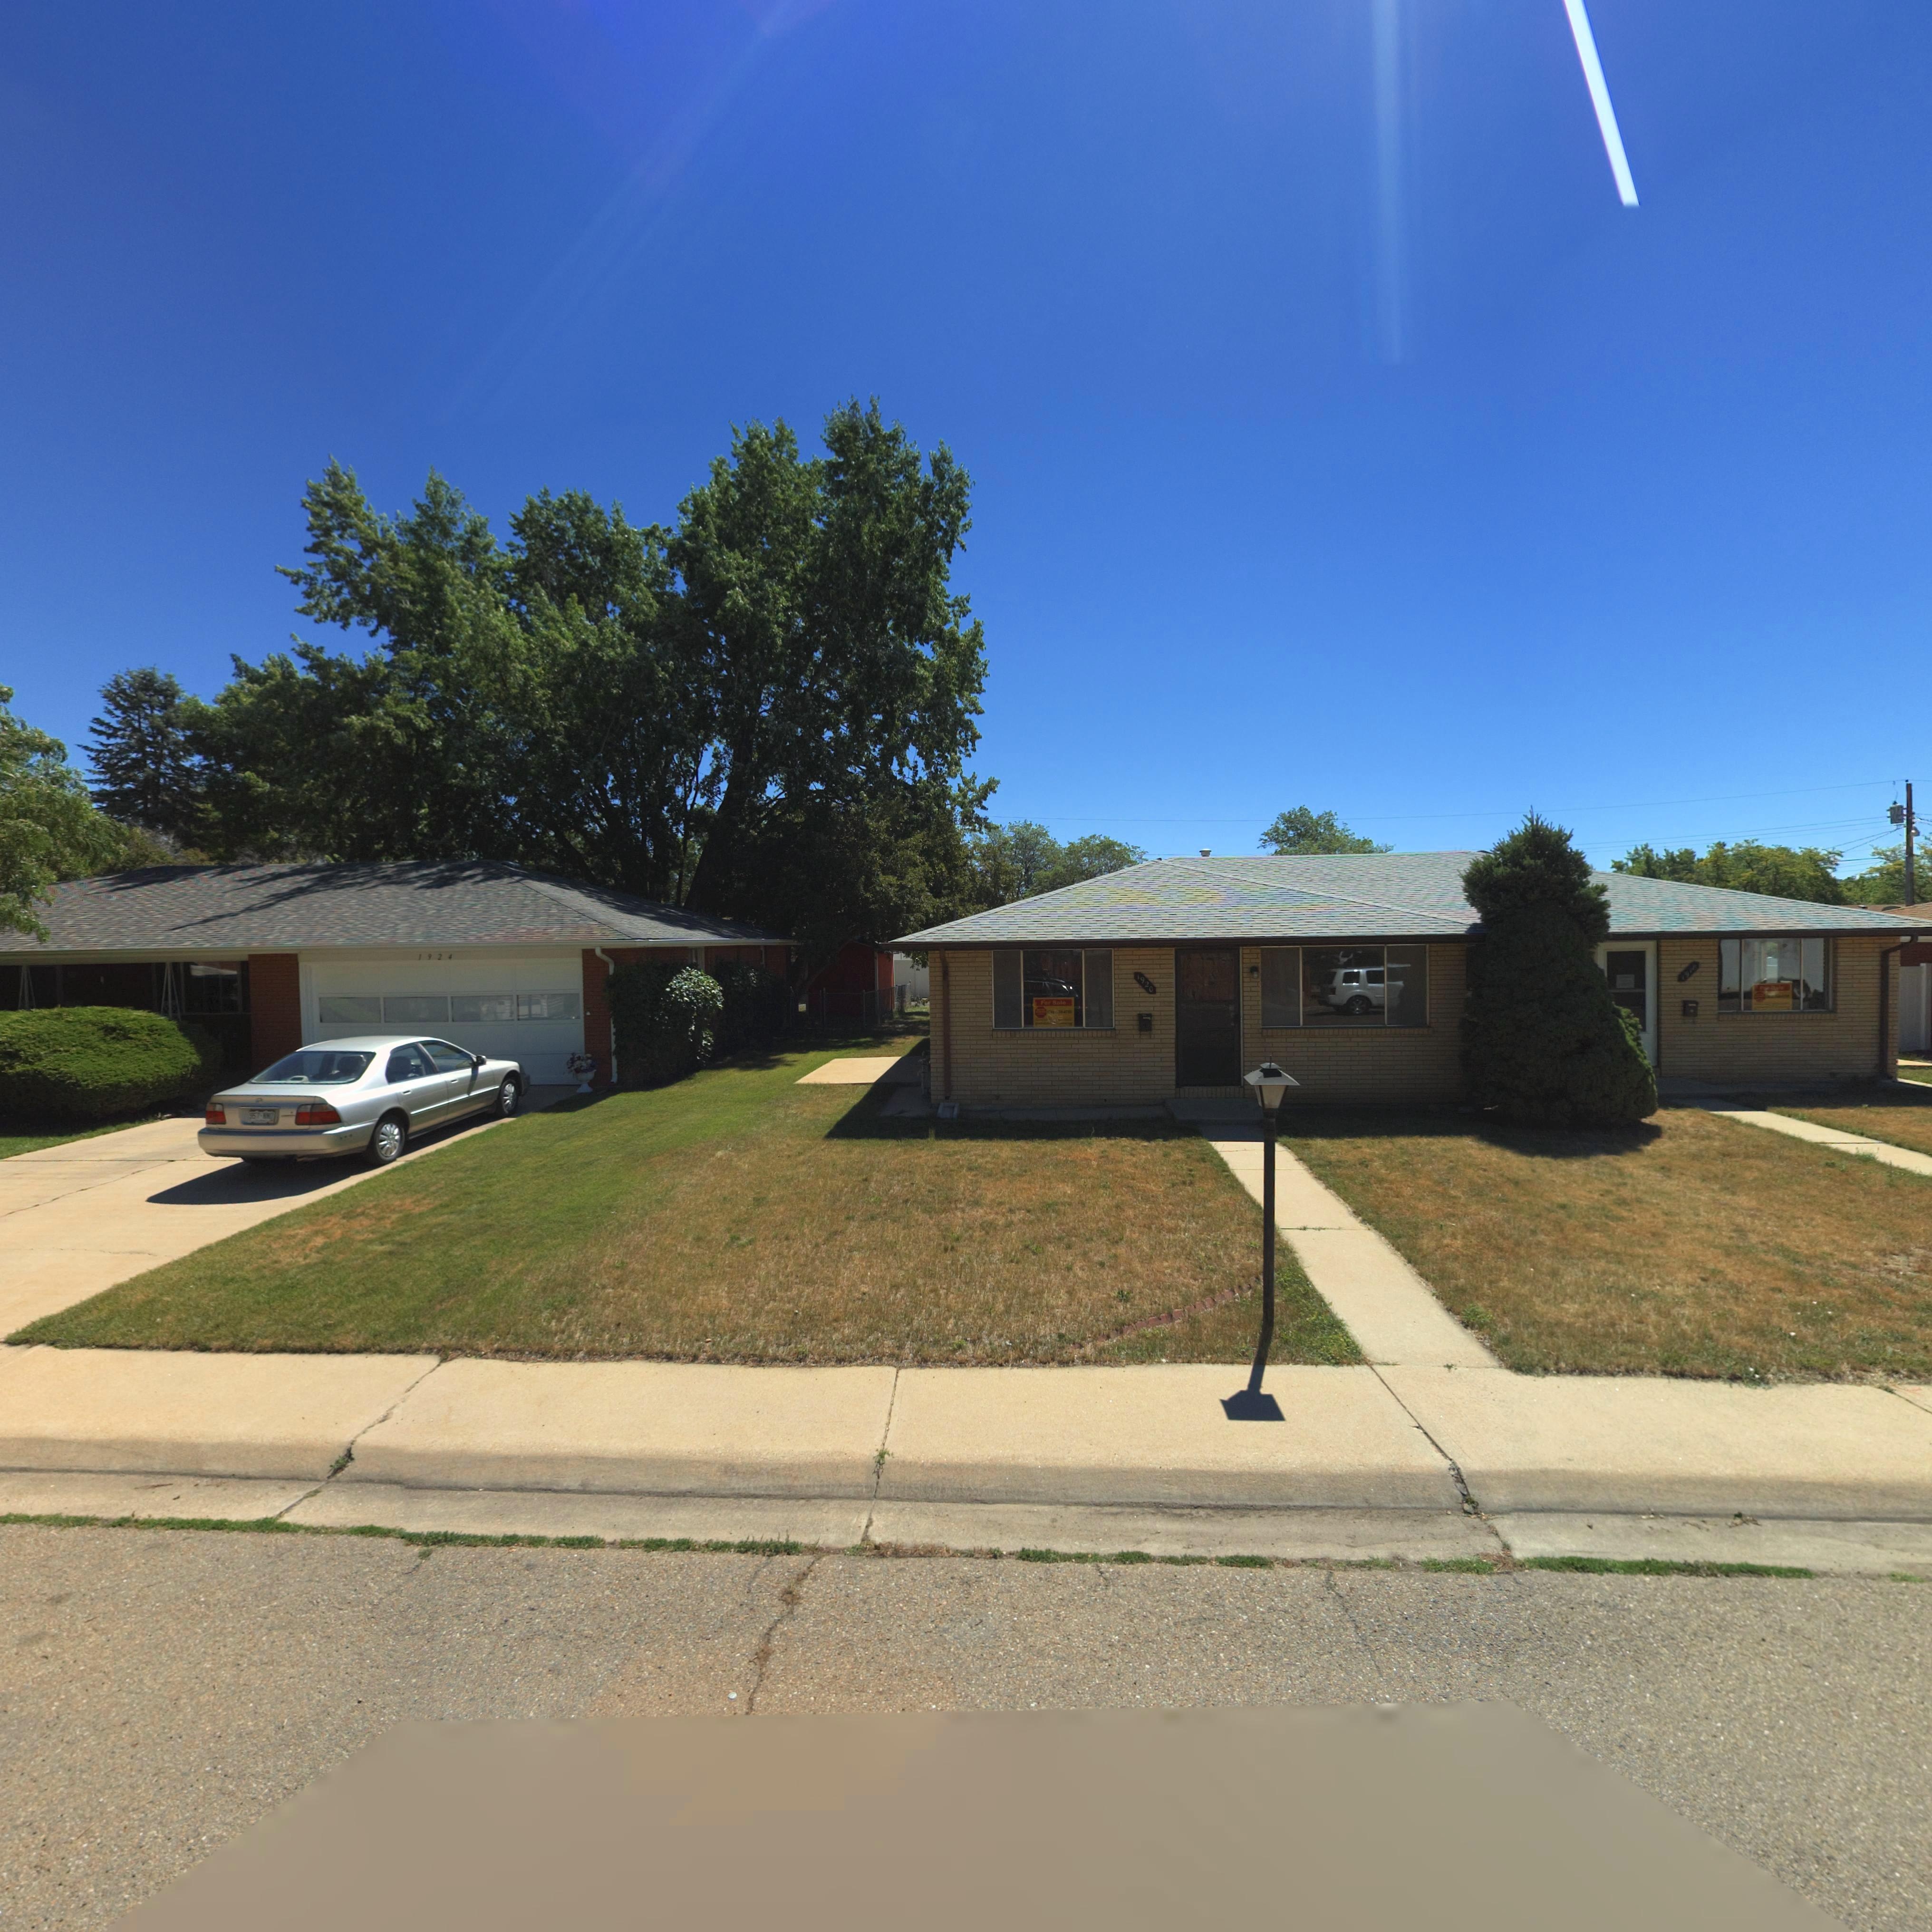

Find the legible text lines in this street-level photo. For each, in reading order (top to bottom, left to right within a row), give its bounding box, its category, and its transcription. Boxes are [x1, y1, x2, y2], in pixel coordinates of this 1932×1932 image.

[417, 952, 454, 960] StreetNumber: 1924
[1680, 963, 1698, 982] StreetNumber: 1918
[1135, 974, 1153, 993] StreetNumber: 1920